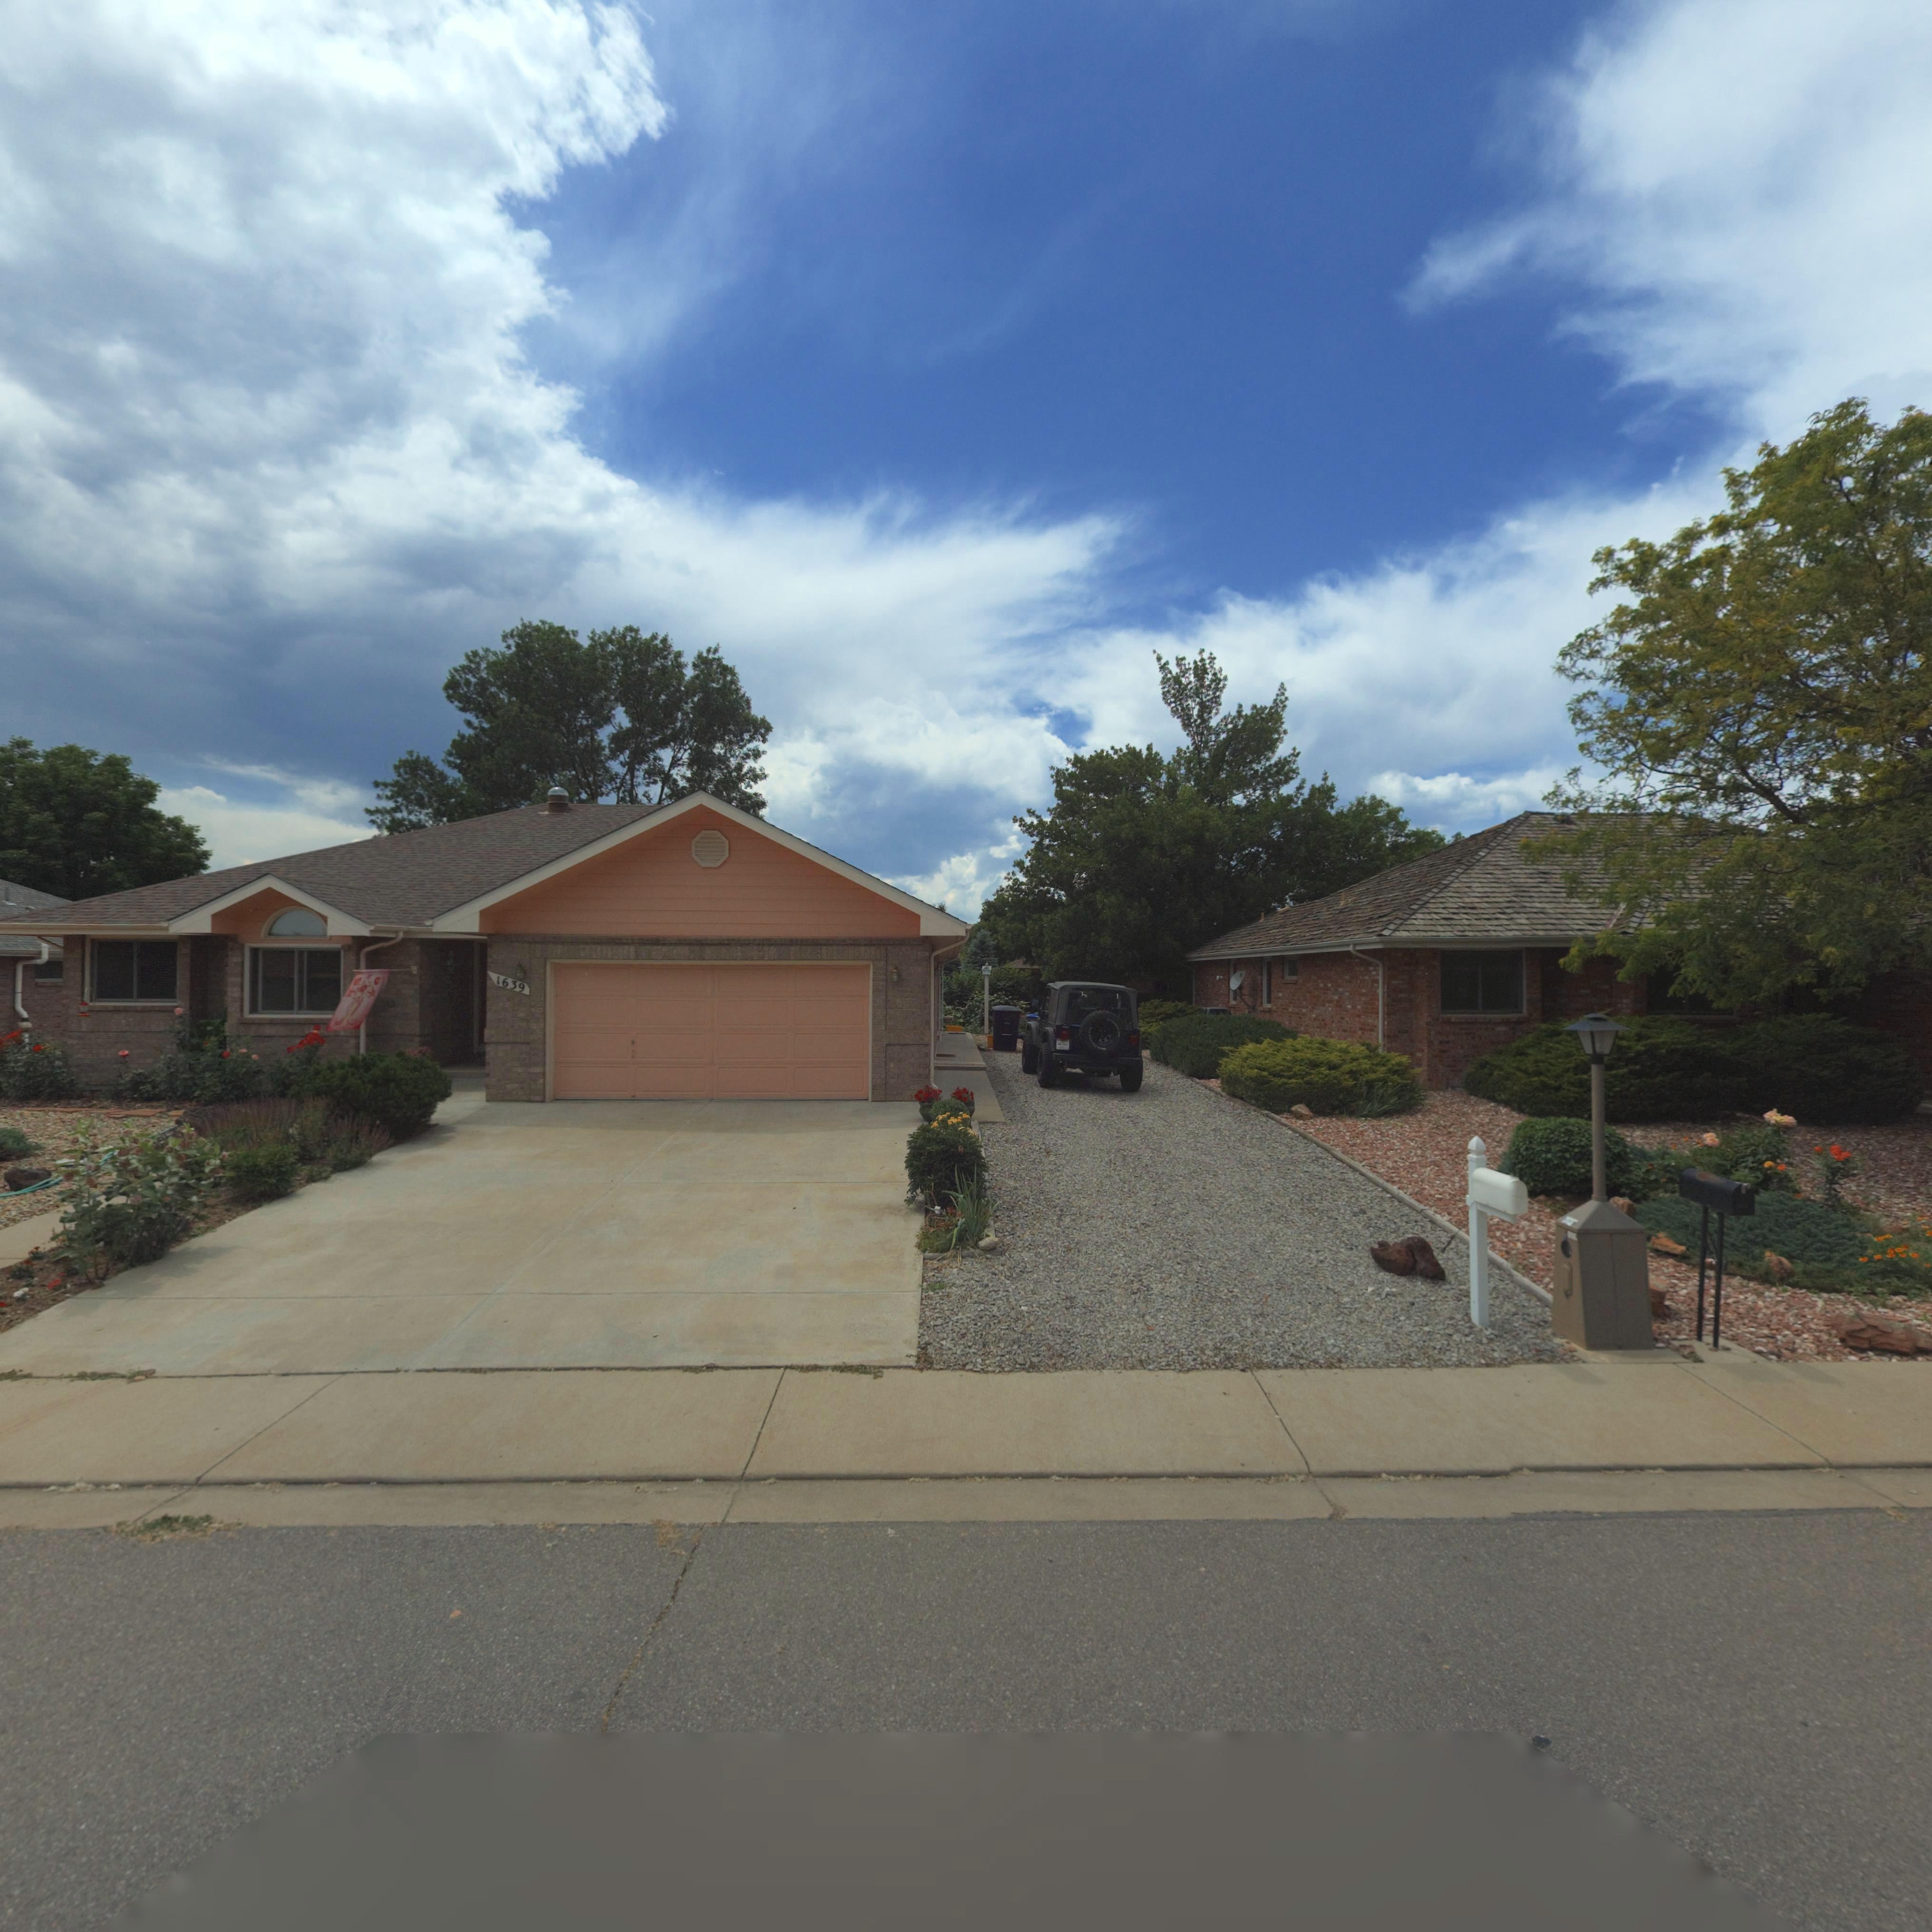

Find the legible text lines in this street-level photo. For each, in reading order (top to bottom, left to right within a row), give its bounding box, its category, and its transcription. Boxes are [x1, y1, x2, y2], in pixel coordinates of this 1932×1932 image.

[496, 974, 525, 993] StreetNumber: 1639